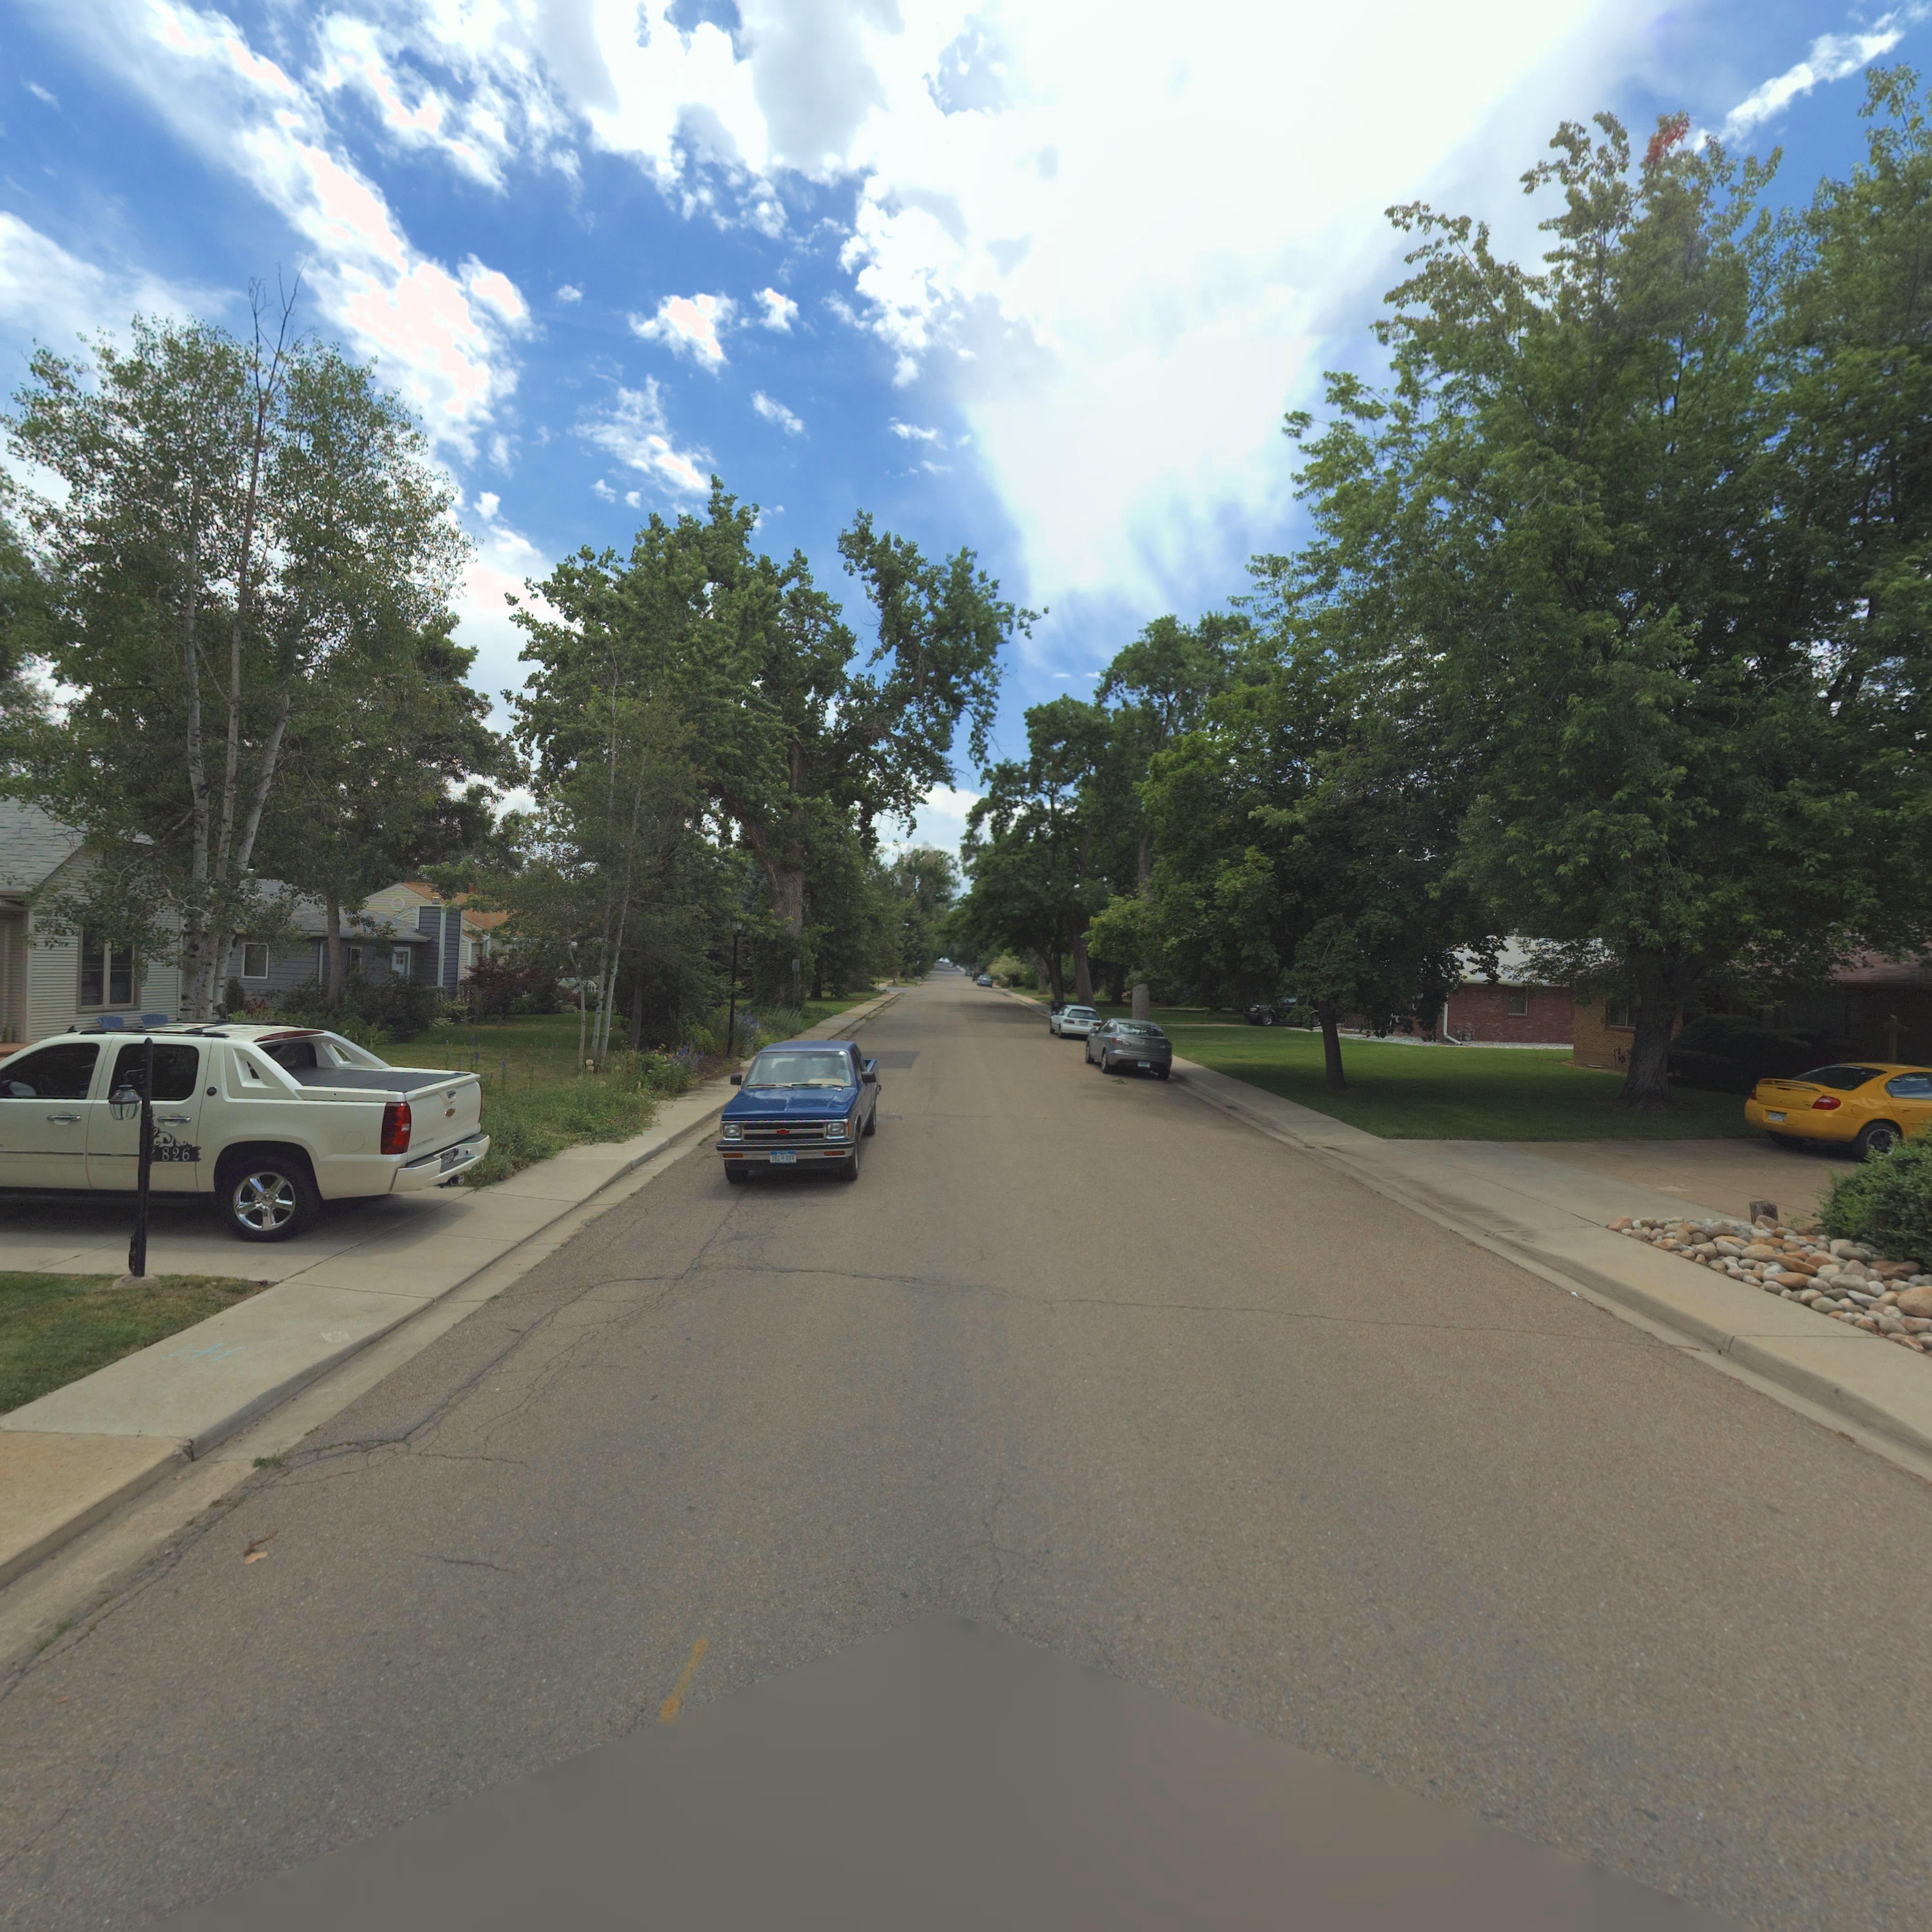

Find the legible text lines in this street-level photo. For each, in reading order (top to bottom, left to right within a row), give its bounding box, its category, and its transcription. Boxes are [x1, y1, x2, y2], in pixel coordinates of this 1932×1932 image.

[162, 1147, 189, 1161] StreetNumber: 826